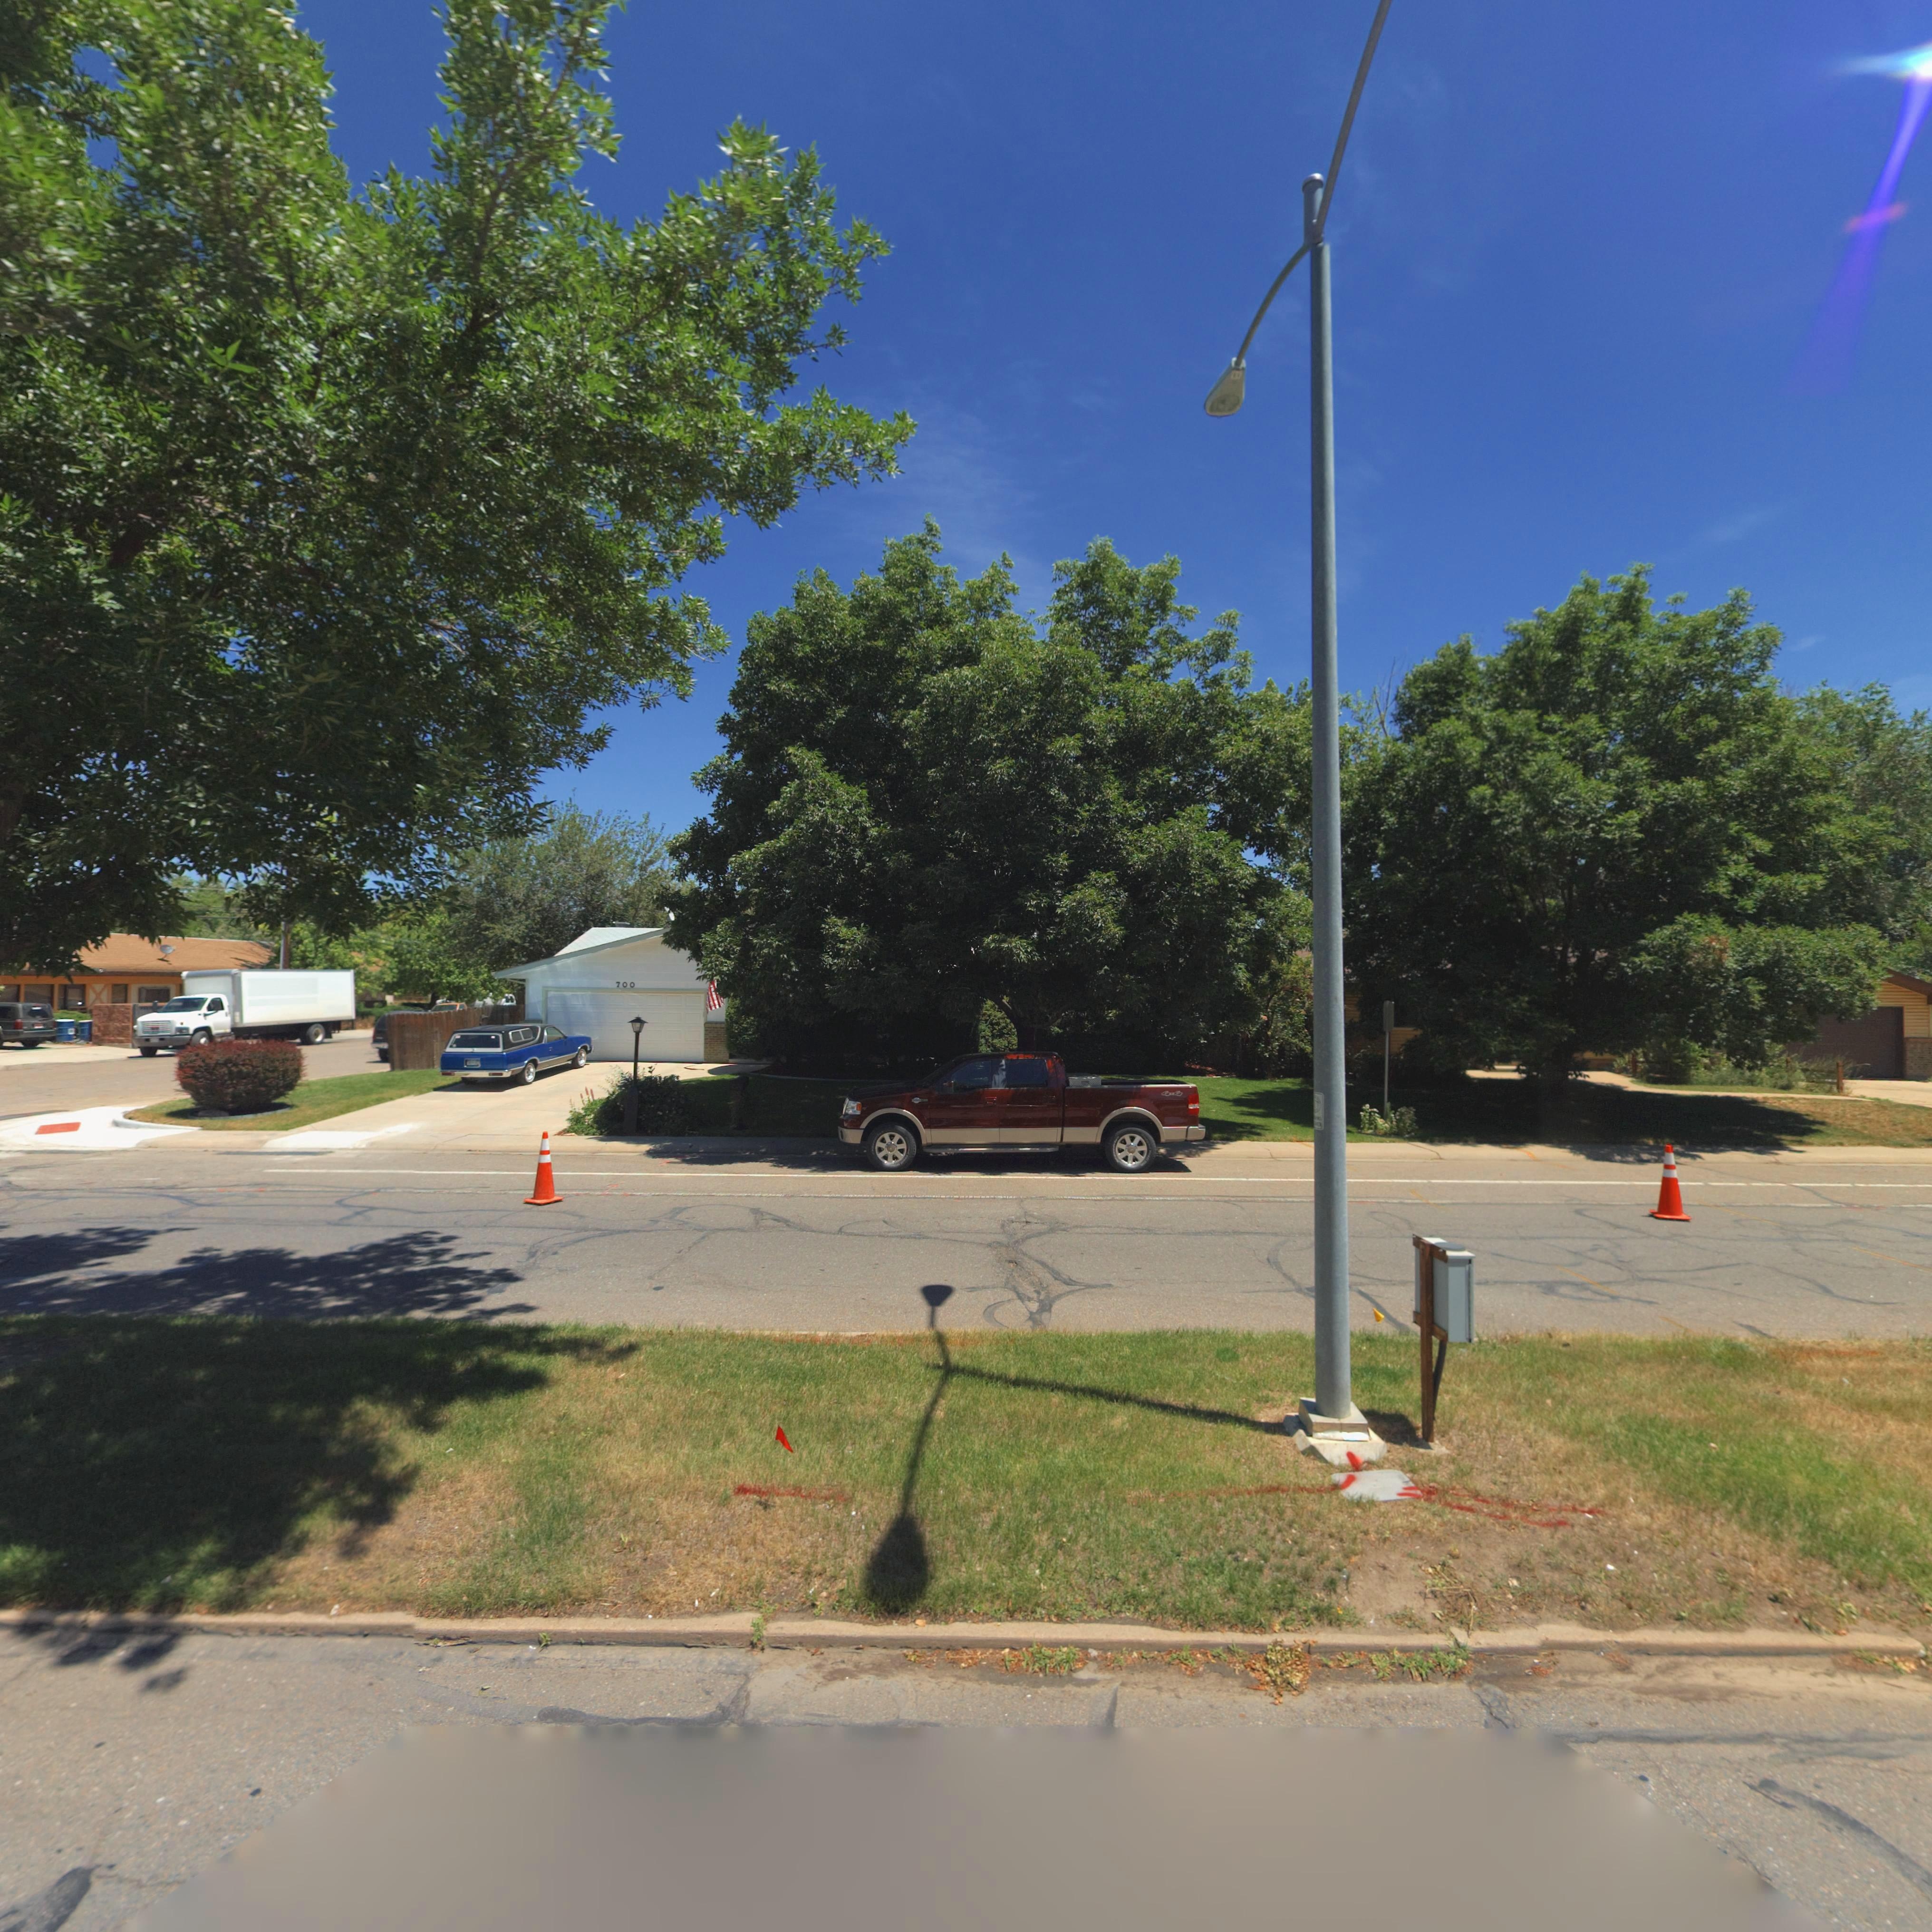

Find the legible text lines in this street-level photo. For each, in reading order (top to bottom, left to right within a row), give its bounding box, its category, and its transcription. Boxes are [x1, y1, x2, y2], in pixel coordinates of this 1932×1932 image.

[616, 981, 635, 987] StreetNumber: 700